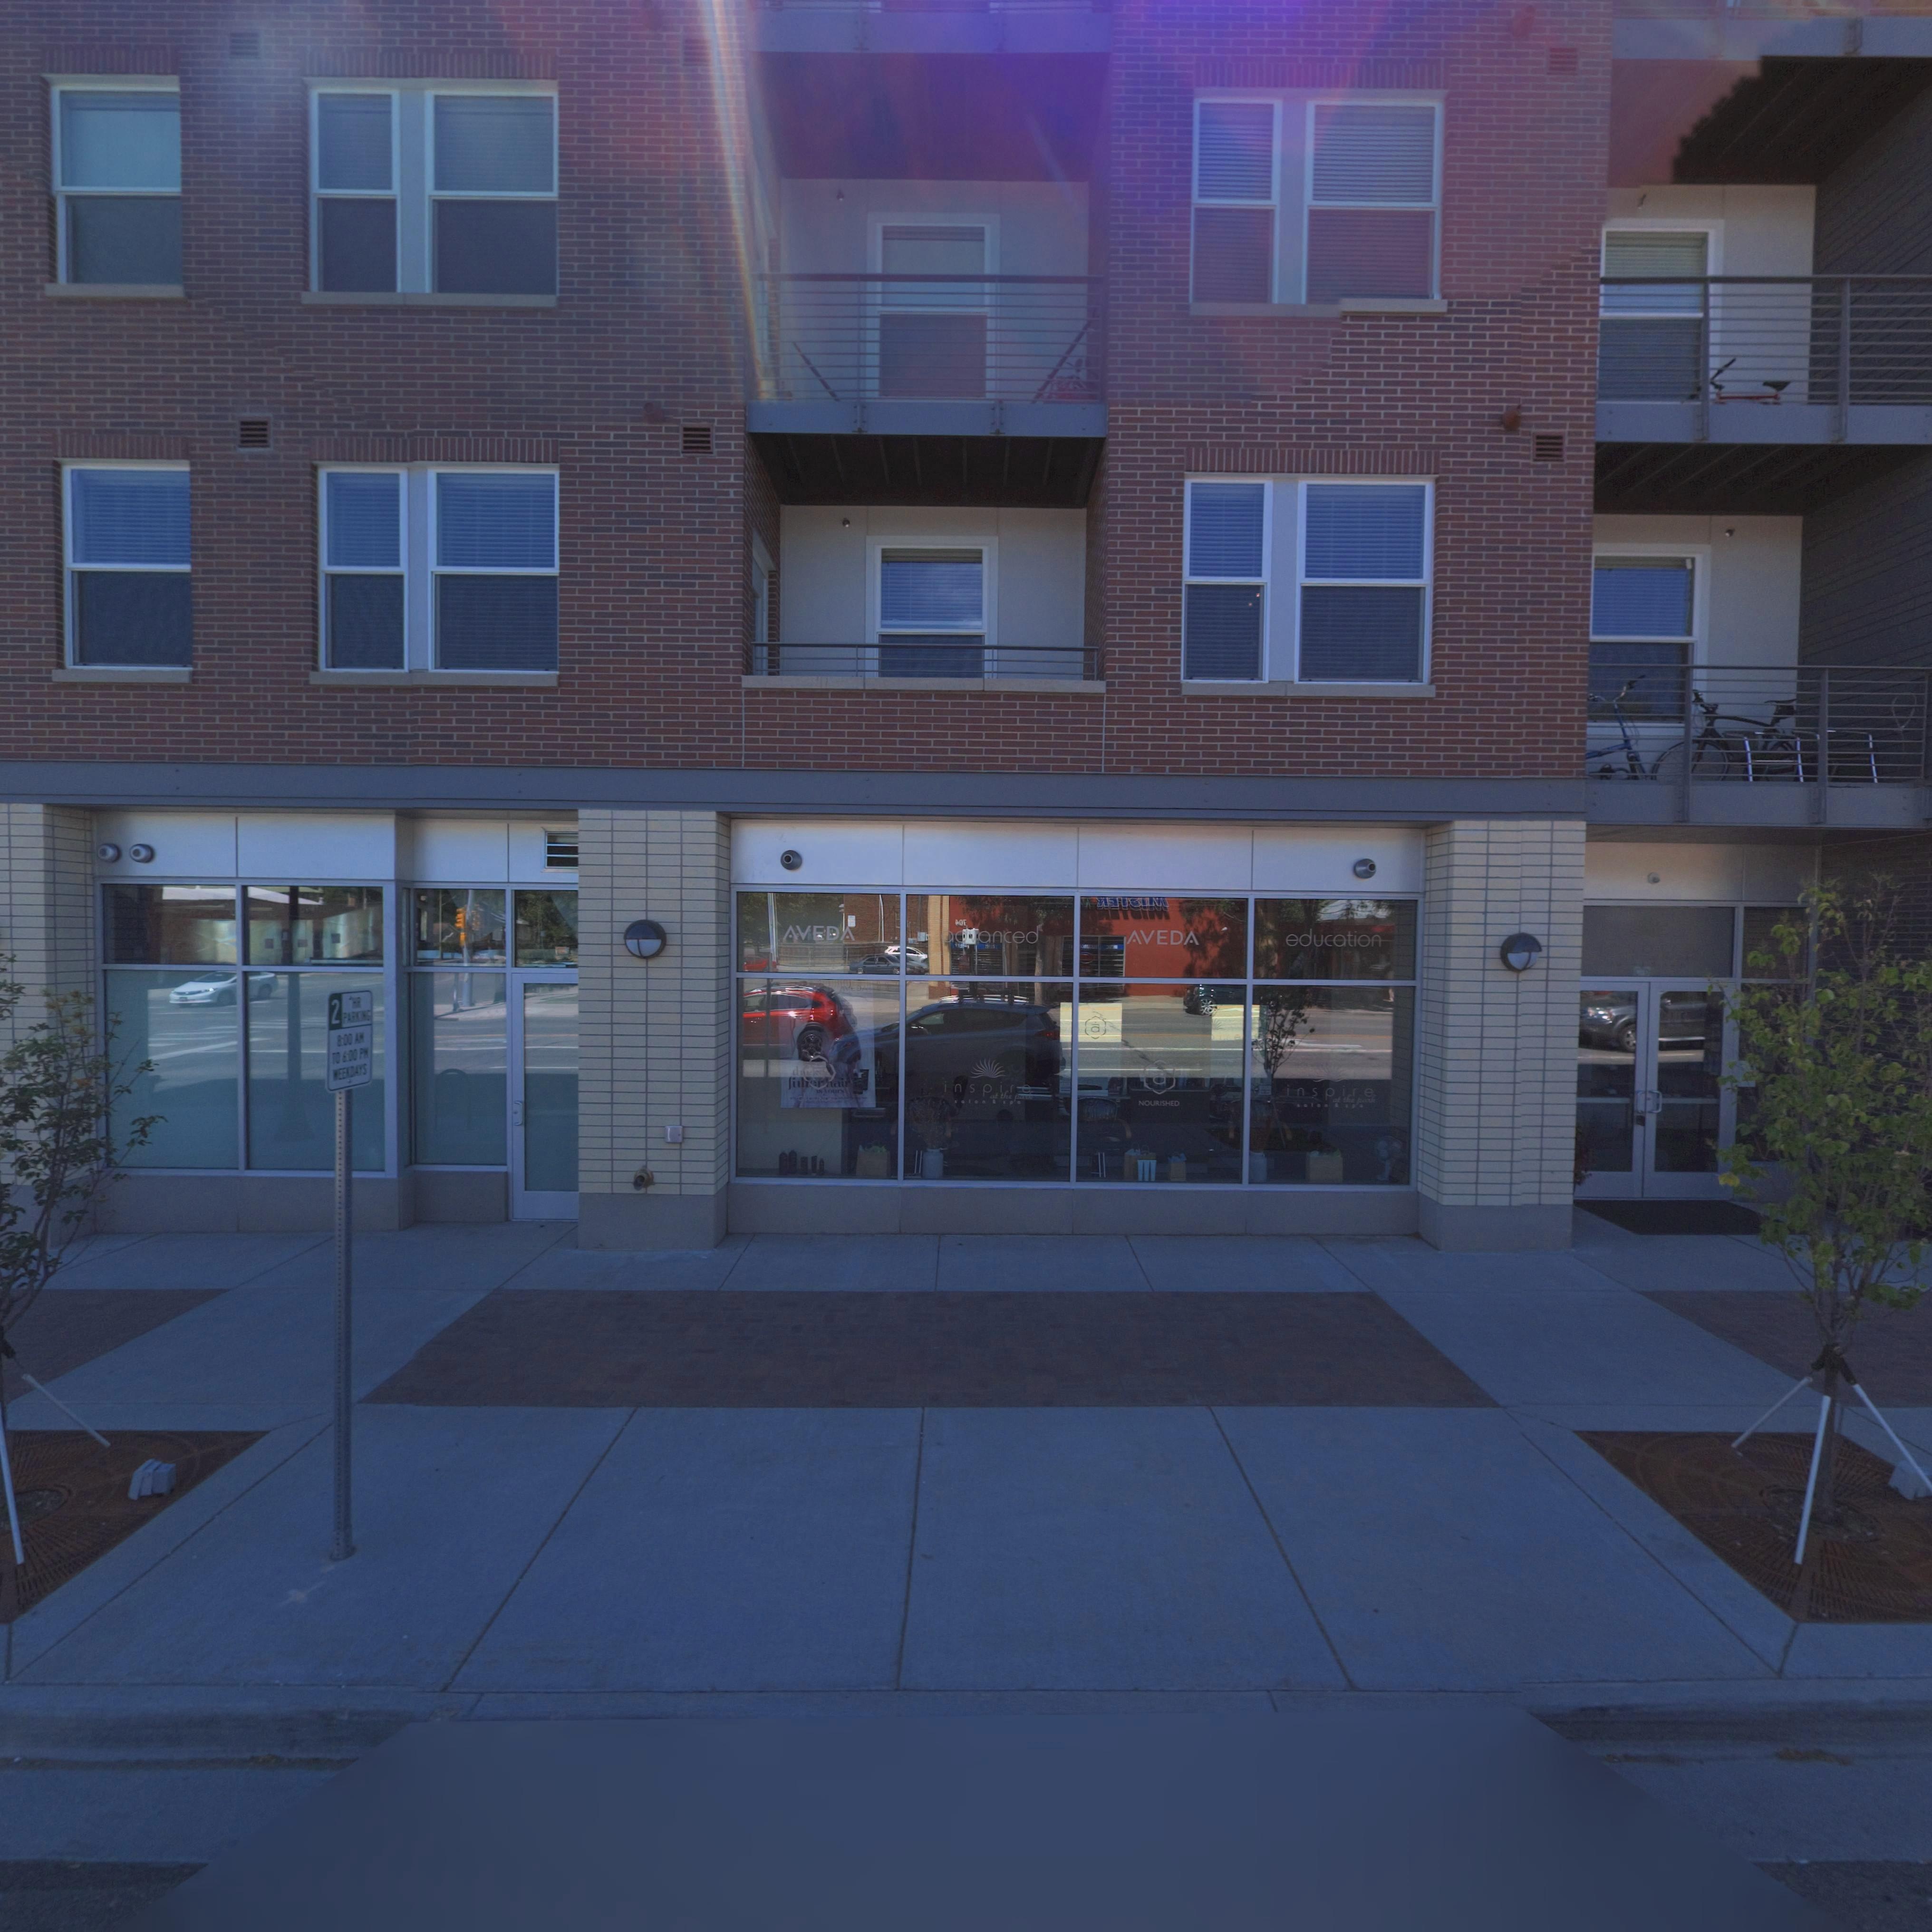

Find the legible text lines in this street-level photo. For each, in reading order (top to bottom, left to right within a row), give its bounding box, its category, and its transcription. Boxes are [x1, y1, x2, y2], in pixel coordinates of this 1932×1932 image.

[944, 1080, 1031, 1097] BusinessName: inspire
[954, 1099, 1021, 1105] BusinessName: solon & spa
[990, 1092, 1033, 1102] BusinessName: at the park
[1296, 1102, 1363, 1109] BusinessName: *alon & *p*
[1286, 1084, 1374, 1101] BusinessName: inspire
[1332, 1096, 1376, 1106] BusinessName: at the park